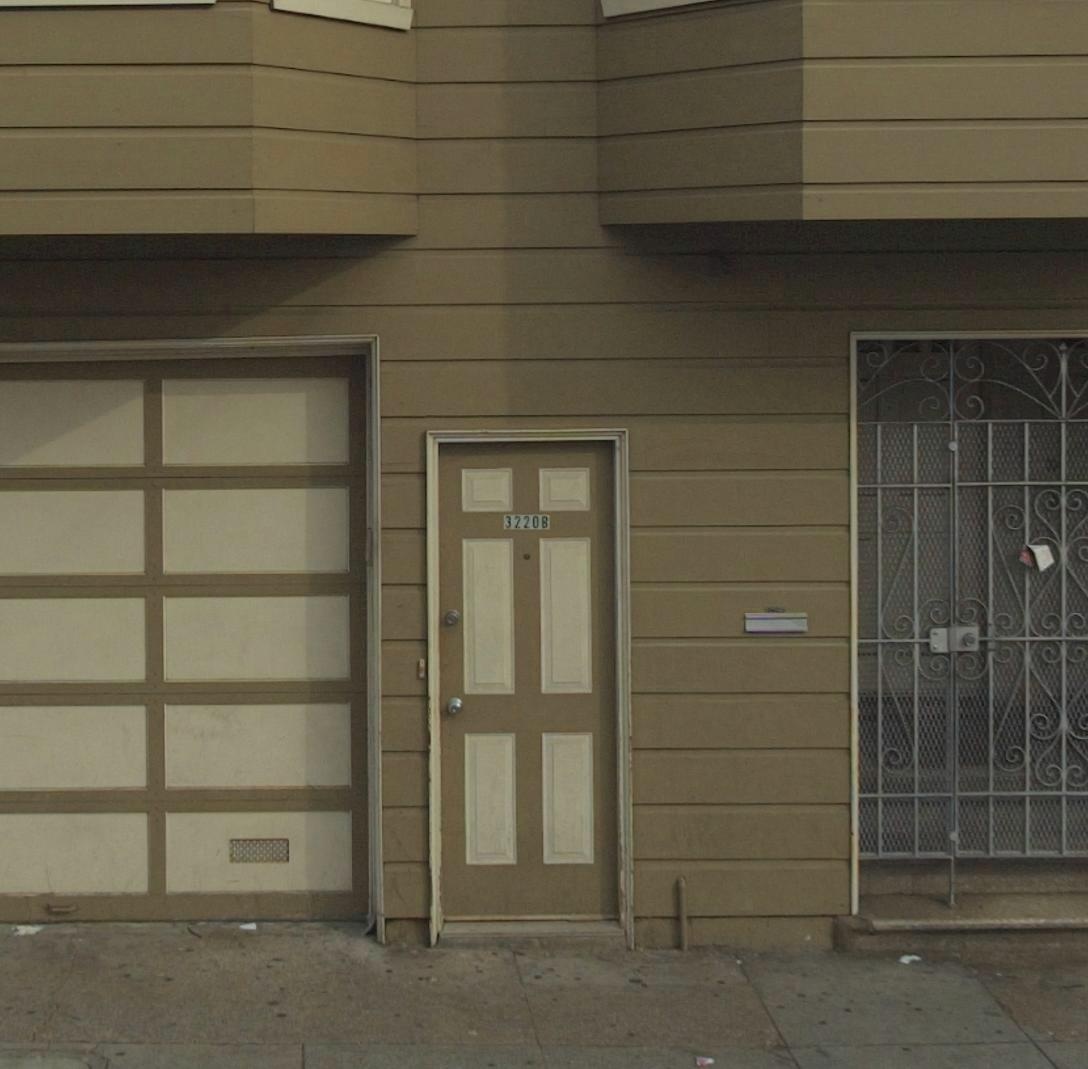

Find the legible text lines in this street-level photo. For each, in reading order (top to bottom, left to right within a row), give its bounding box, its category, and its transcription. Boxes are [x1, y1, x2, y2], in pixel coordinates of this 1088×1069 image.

[504, 514, 549, 530] StreetNumber: 3220B